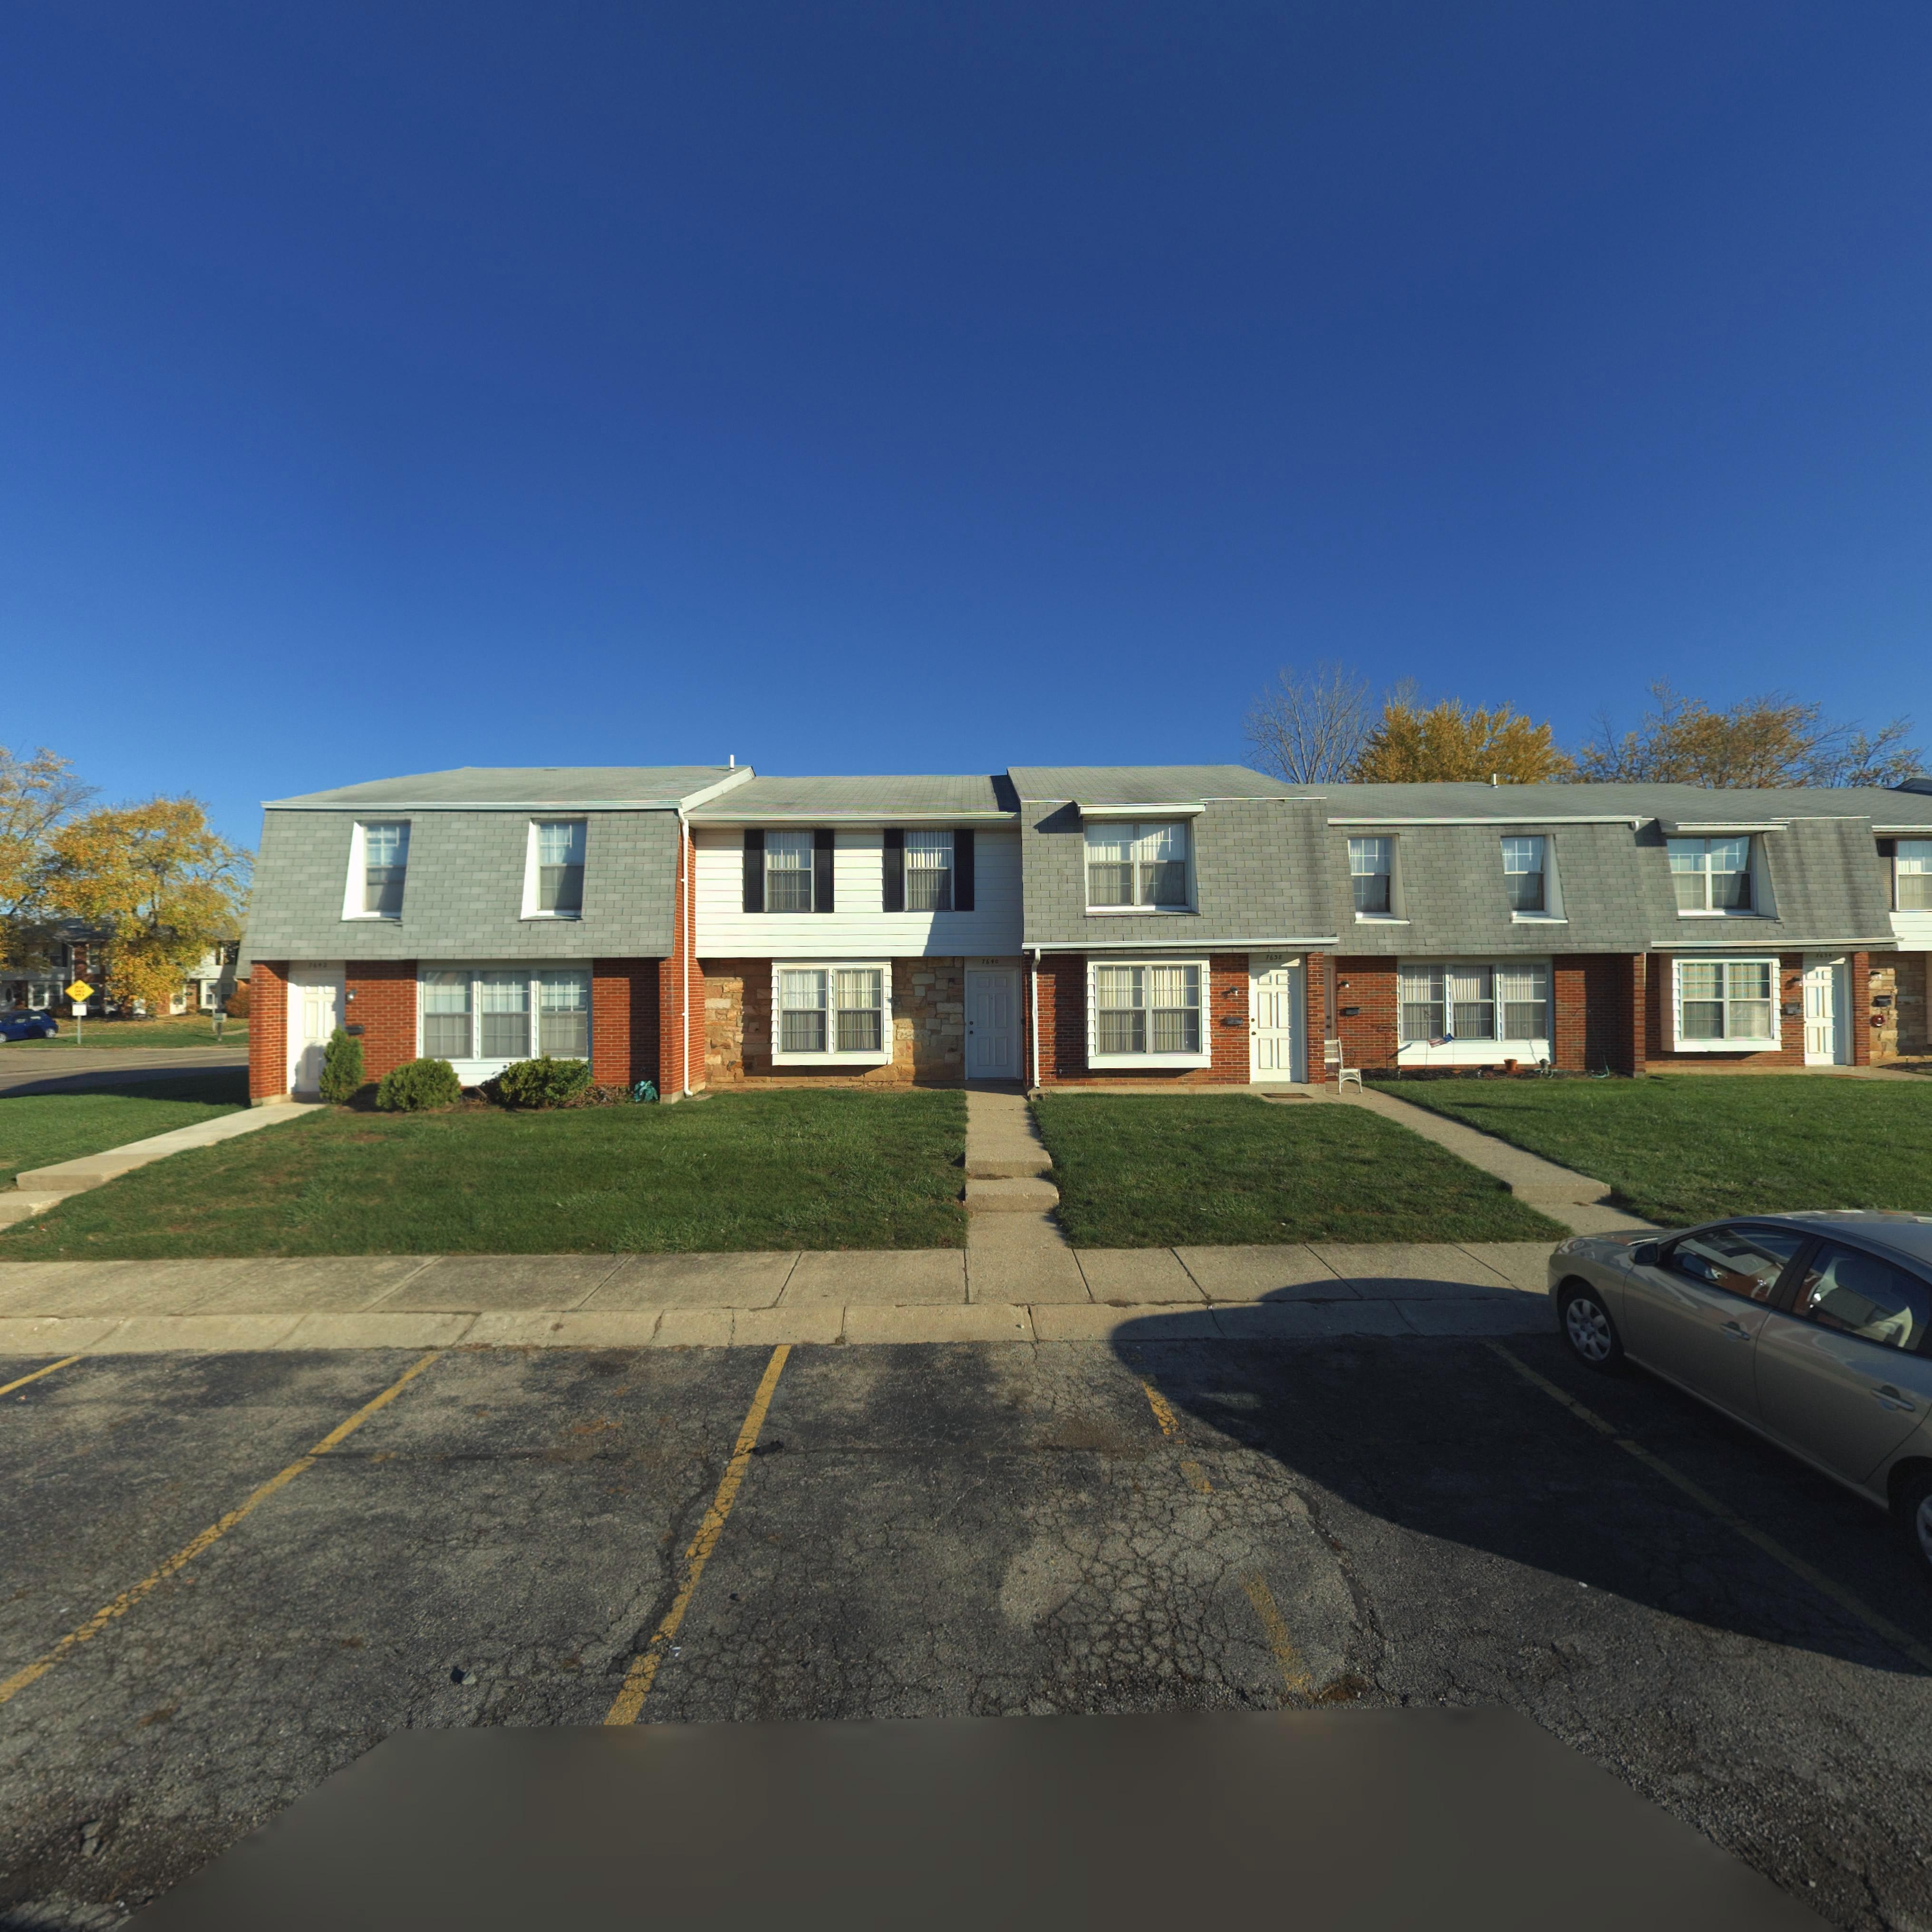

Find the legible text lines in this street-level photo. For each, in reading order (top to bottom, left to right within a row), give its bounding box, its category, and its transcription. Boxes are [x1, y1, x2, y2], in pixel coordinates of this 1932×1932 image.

[1265, 954, 1284, 960] StreetNumber: 7638
[1815, 952, 1834, 959] StreetNumber: 7534
[982, 958, 999, 965] StreetNumber: 7640
[307, 962, 328, 968] StreetNumber: 7642